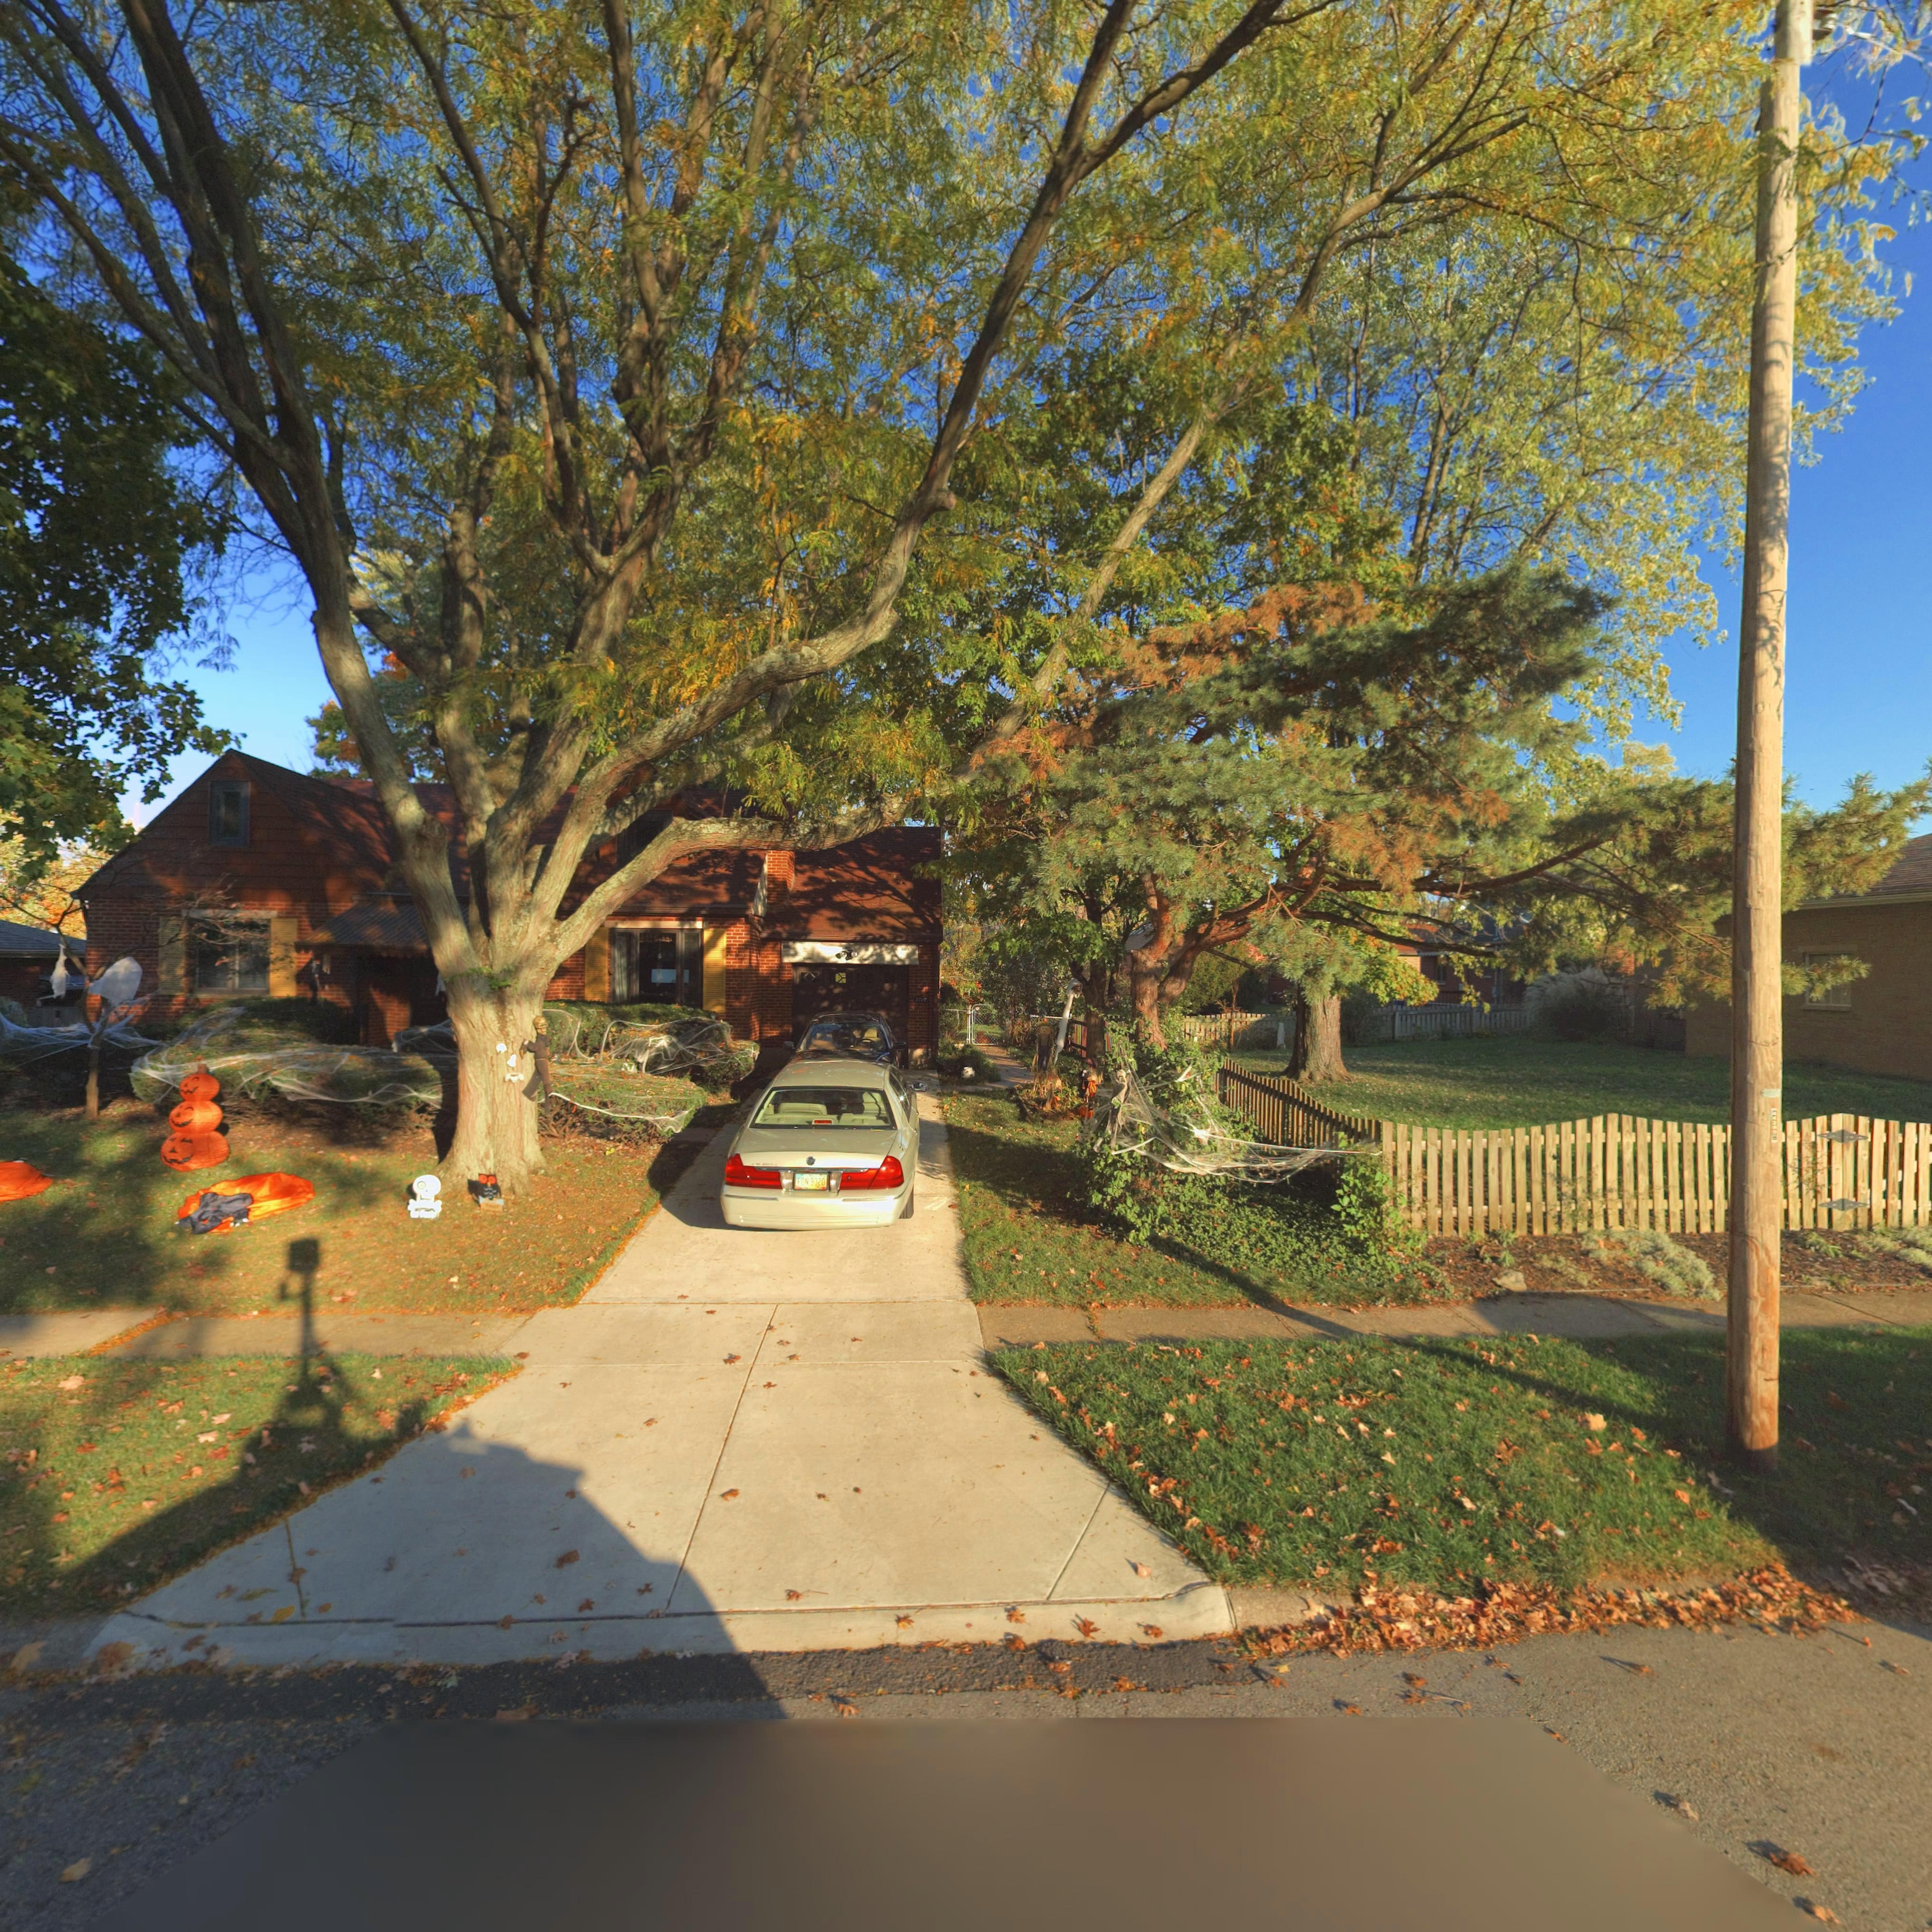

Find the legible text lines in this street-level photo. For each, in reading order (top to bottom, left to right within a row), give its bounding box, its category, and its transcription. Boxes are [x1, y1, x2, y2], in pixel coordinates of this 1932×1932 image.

[914, 997, 928, 1002] StreetNumber: 3718